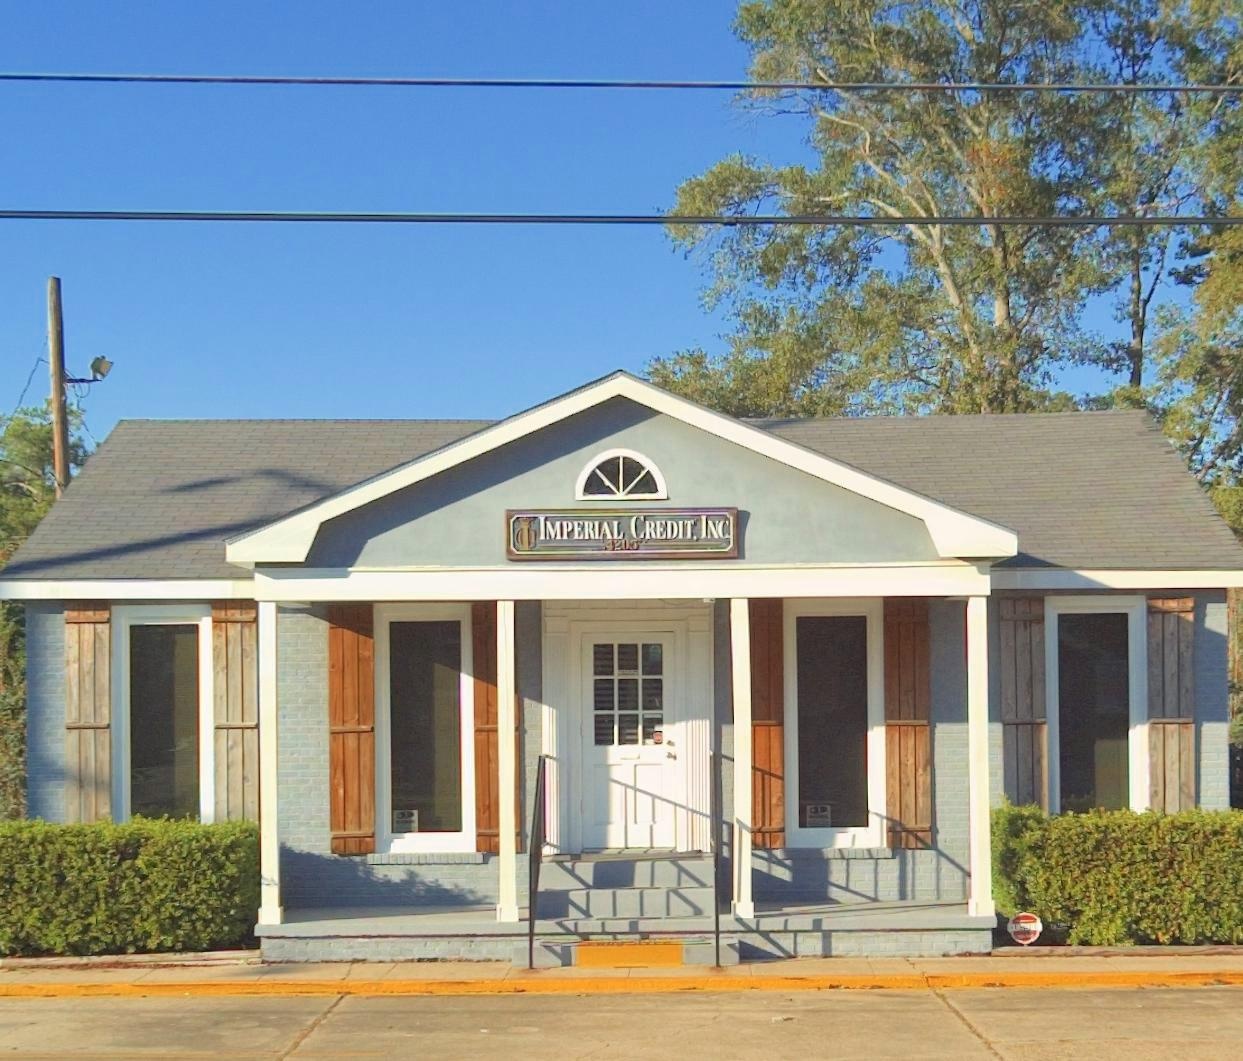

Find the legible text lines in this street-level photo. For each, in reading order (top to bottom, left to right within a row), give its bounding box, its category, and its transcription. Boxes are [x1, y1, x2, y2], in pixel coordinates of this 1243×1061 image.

[538, 514, 731, 541] BusinessName: IMPERIAL CREDIT, INC.
[604, 539, 640, 551] StreetNumber: 4205